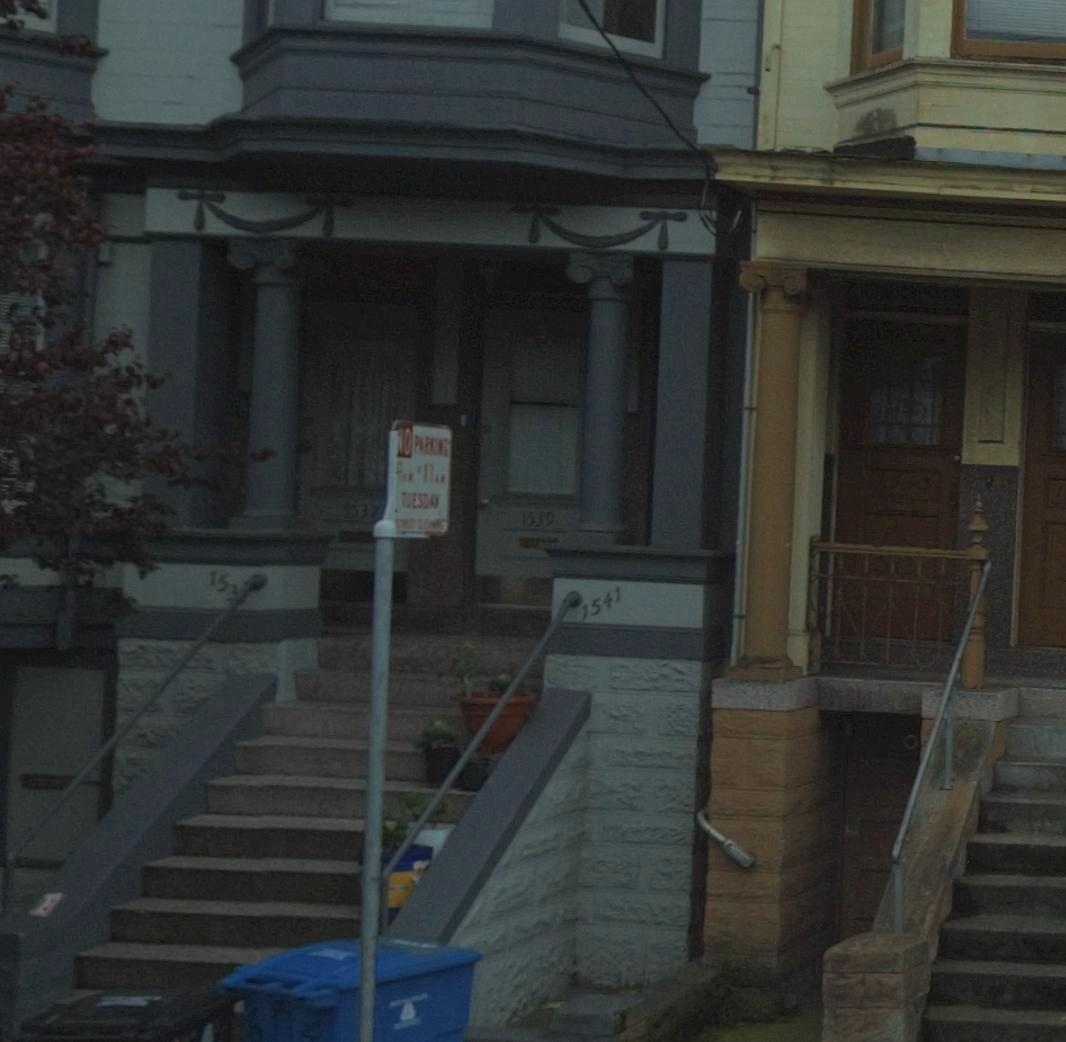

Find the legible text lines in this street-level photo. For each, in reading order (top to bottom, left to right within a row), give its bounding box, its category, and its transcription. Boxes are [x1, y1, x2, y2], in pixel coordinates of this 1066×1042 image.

[403, 427, 450, 457] None: O PAR***G
[422, 461, 435, 486] None: 11
[889, 474, 933, 492] StreetNumber: 543
[400, 490, 440, 510] None: T*ESD**
[345, 503, 381, 520] StreetNumber: 1537
[522, 510, 555, 529] StreetNumber: 1539
[209, 570, 239, 604] StreetNumber: 153
[581, 584, 621, 620] StreetNumber: 1541
[901, 733, 920, 751] None: O